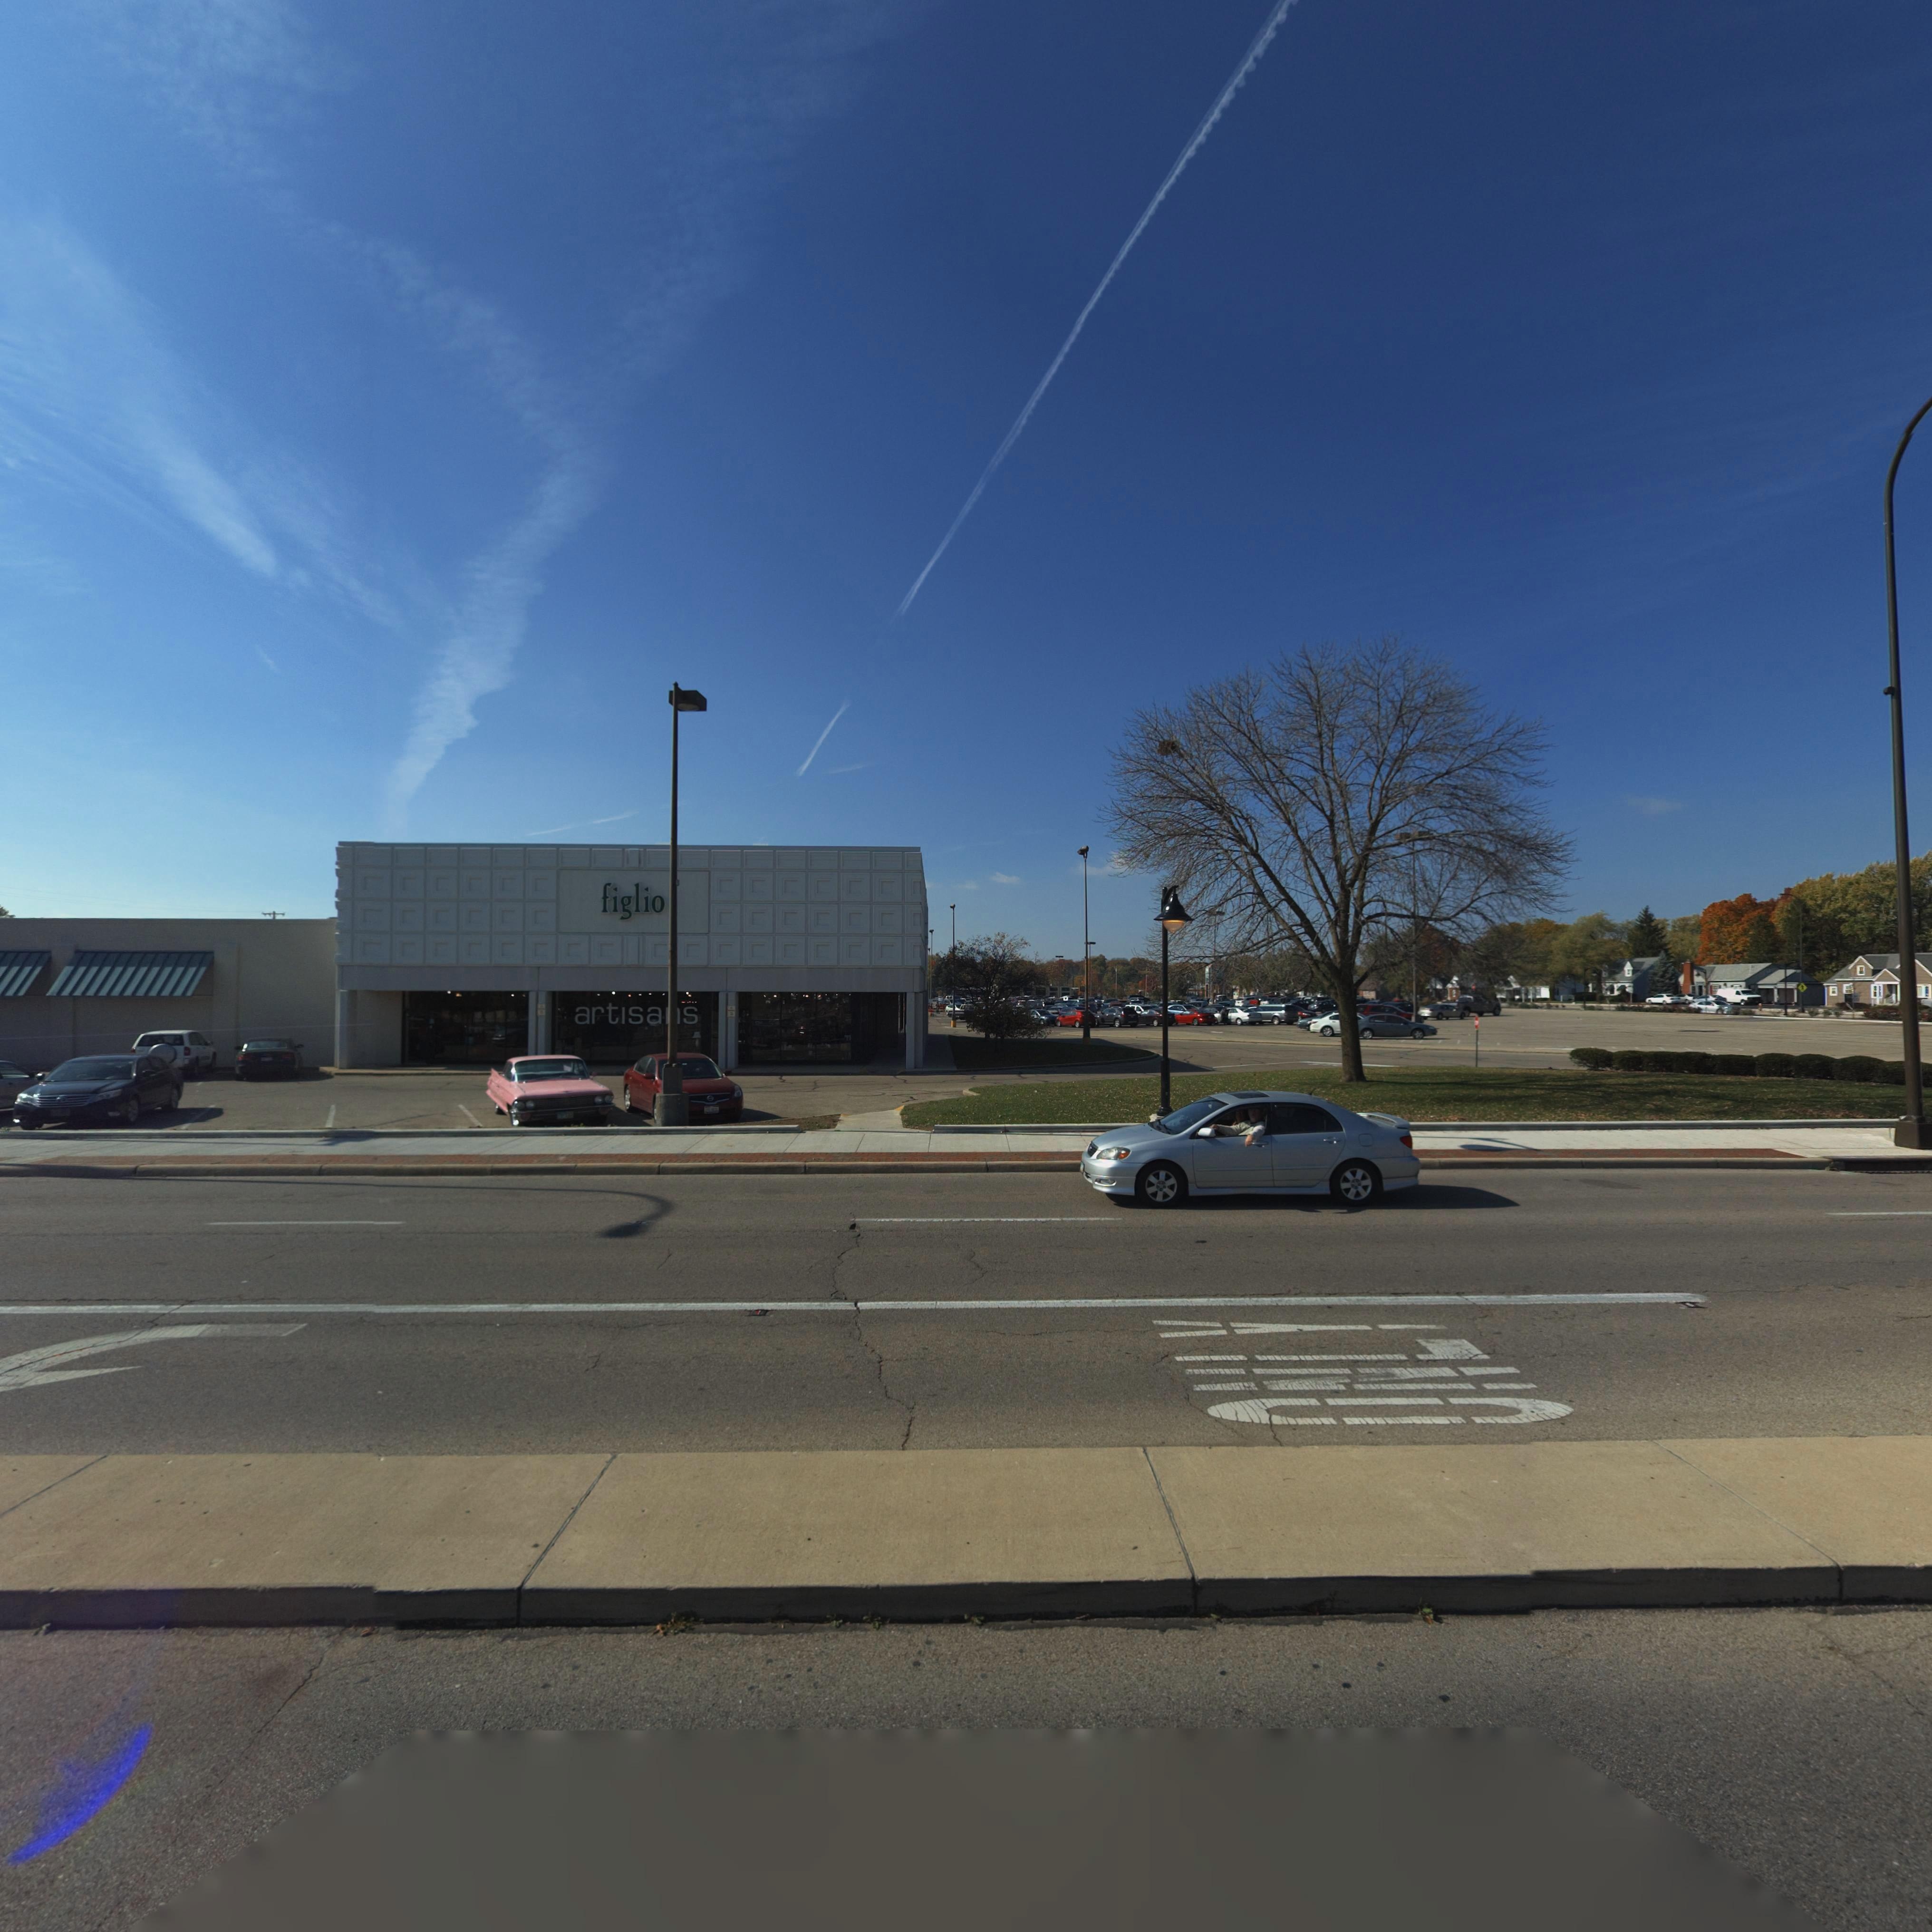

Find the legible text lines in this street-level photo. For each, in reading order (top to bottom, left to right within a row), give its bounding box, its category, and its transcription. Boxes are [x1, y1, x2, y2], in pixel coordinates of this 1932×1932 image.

[600, 882, 666, 920] BusinessName: figlio
[574, 1002, 698, 1025] None: artisa*s